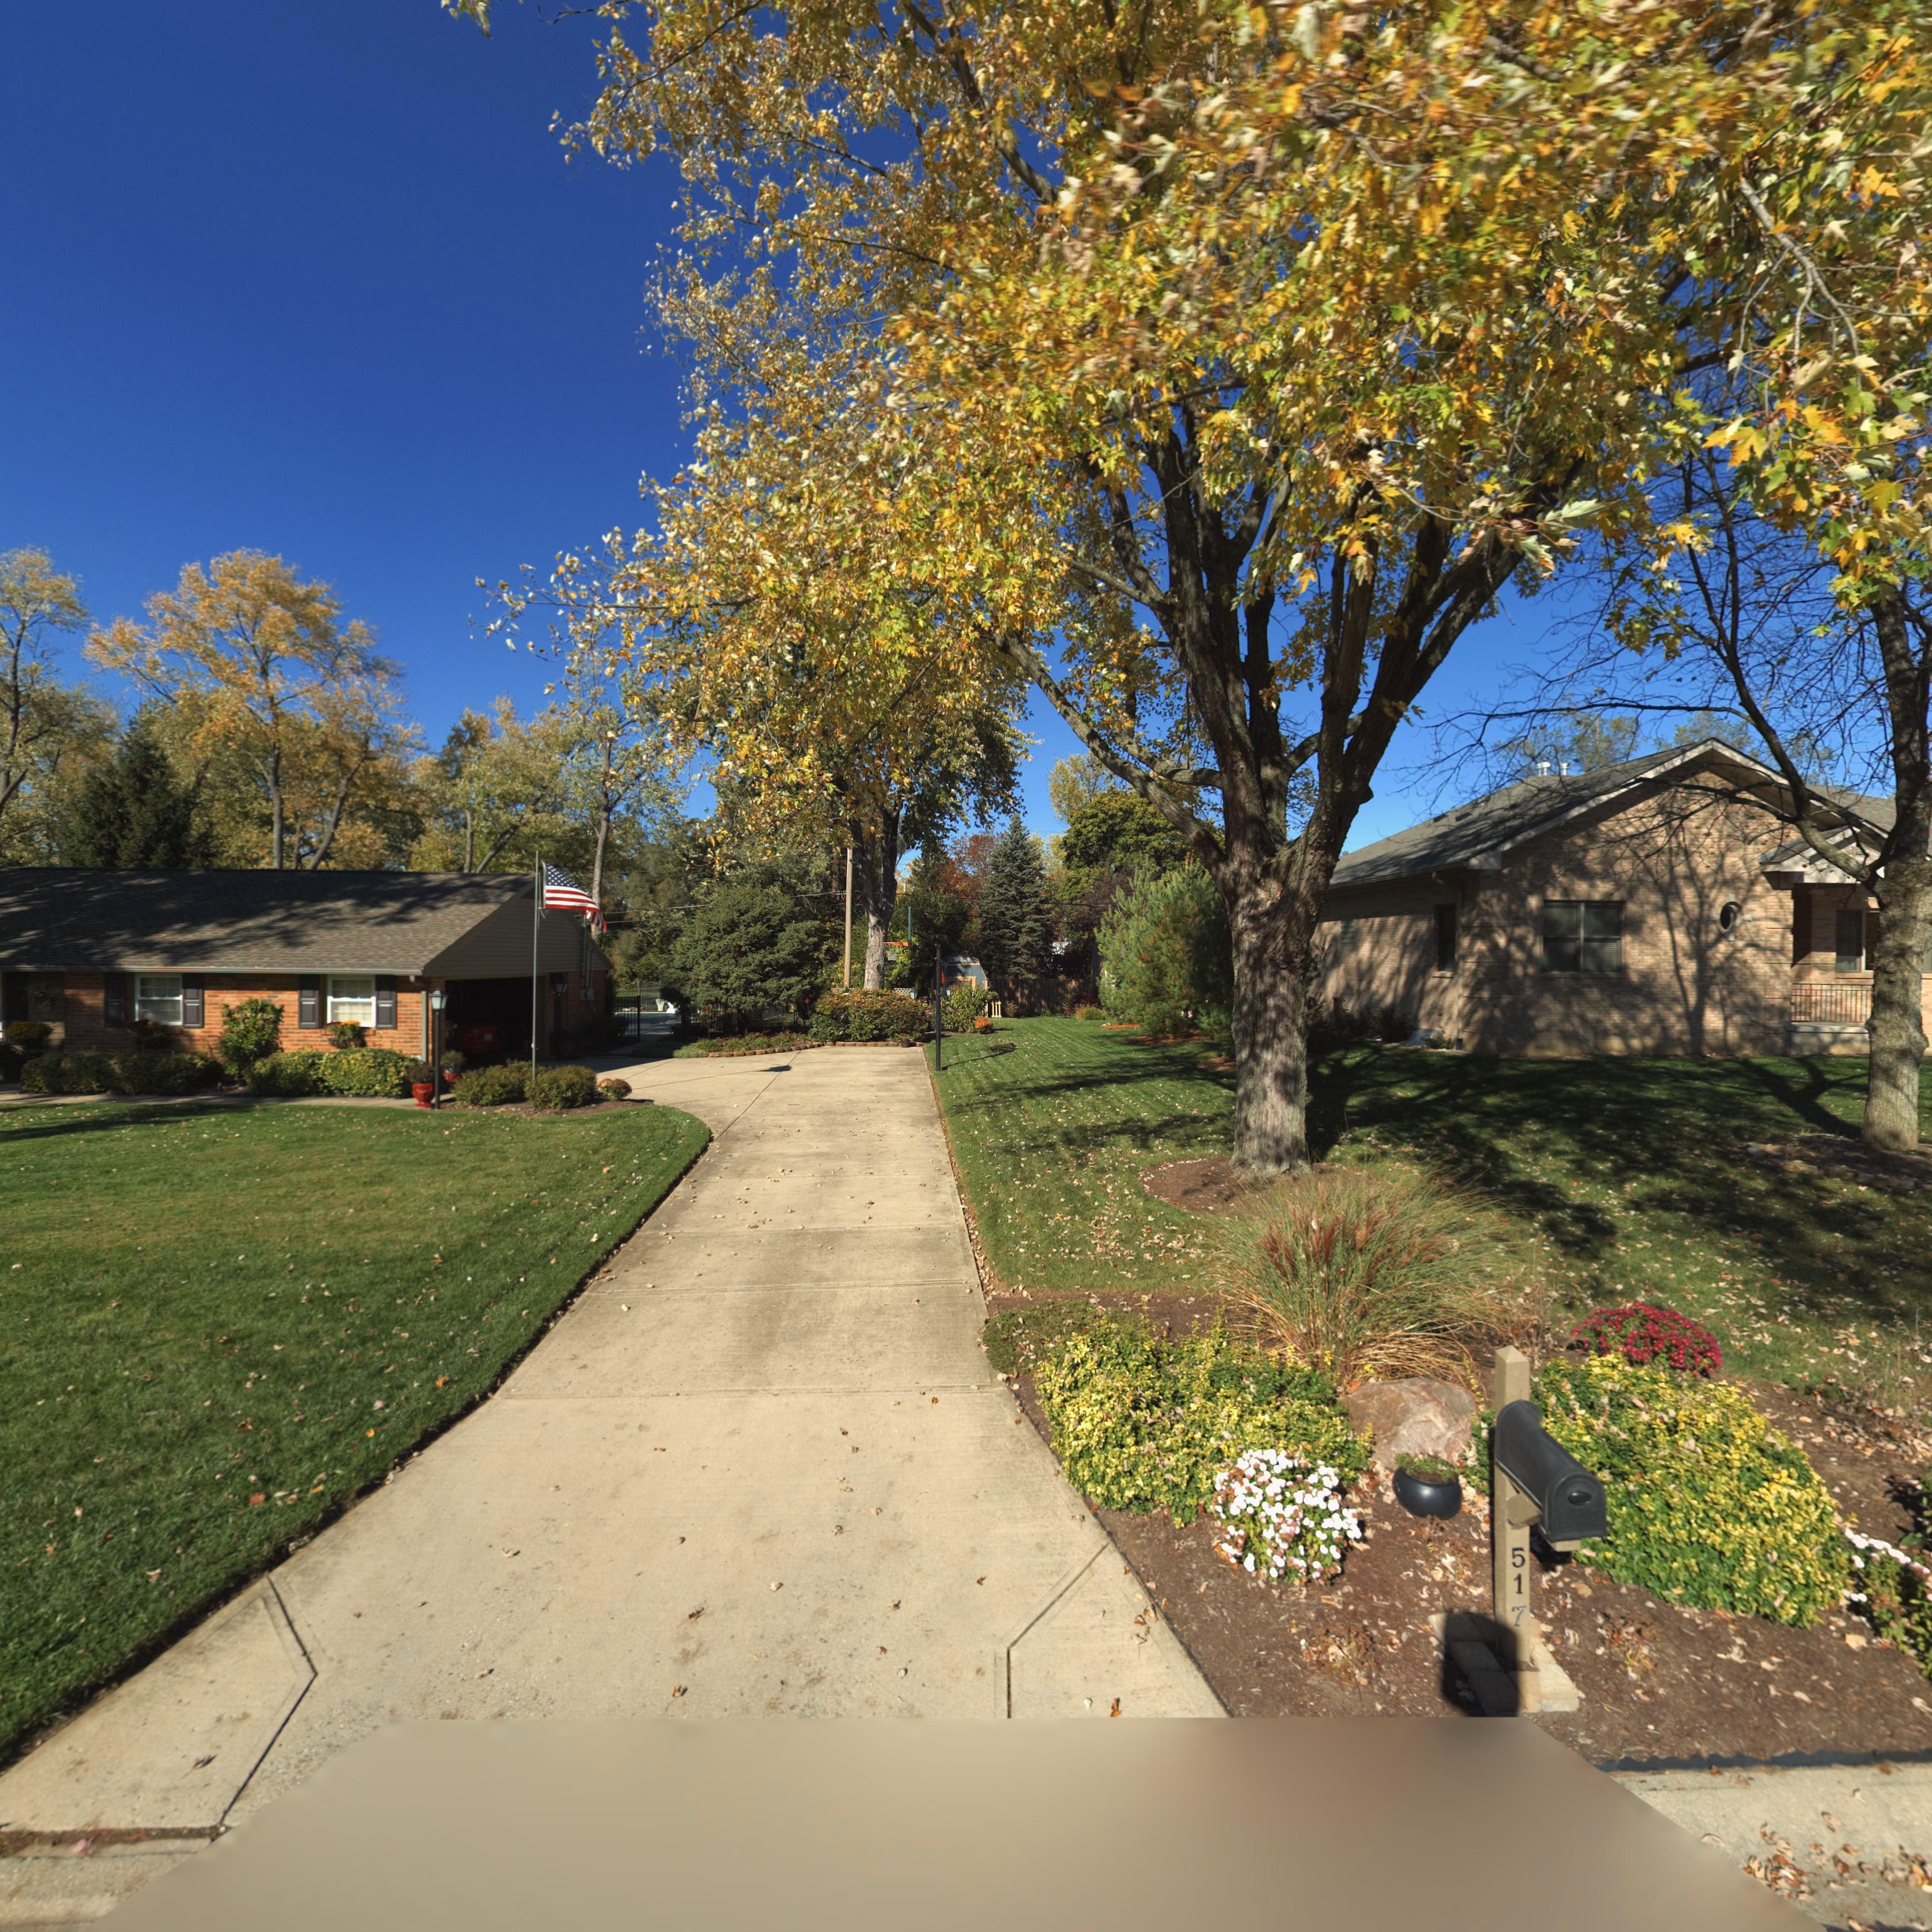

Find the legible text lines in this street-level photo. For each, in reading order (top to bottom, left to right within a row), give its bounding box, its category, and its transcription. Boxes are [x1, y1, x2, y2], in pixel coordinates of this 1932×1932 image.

[1510, 1546, 1527, 1627] StreetNumber: 517